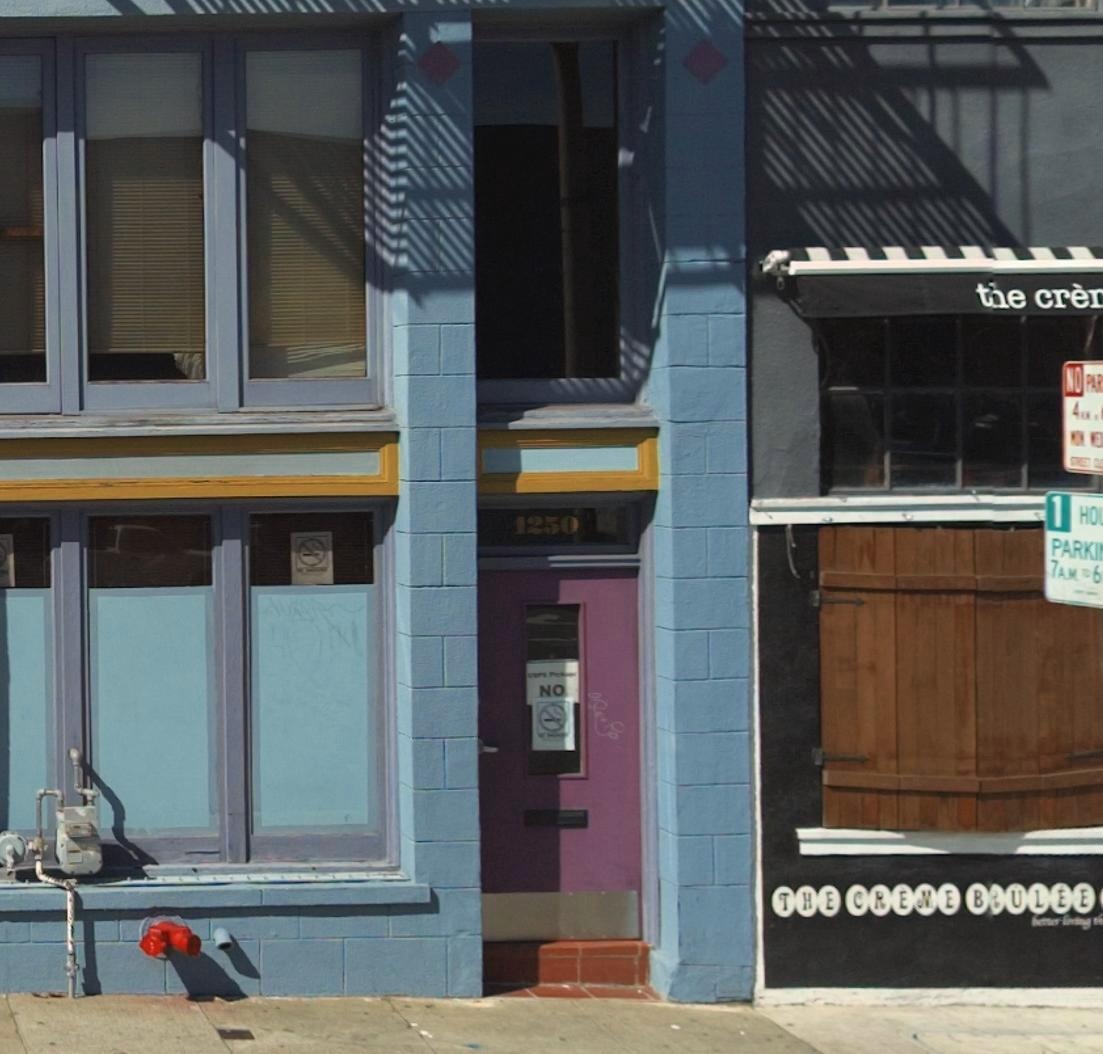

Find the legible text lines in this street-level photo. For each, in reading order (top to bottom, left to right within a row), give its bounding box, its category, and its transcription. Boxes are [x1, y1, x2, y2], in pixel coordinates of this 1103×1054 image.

[969, 276, 1095, 313] BusinessName: tie cre
[1062, 363, 1103, 396] None: NO PAR
[1069, 398, 1082, 426] None: 4
[510, 513, 582, 538] StreetNumber: 1250
[1047, 491, 1067, 532] None: 1
[1077, 502, 1103, 529] None: HO
[1049, 534, 1103, 564] None: PARKI
[1046, 553, 1103, 588] None: 7A.M. TO 6
[535, 681, 568, 701] None: NO
[776, 885, 1092, 913] BusinessName: THE CREME B*ULEE